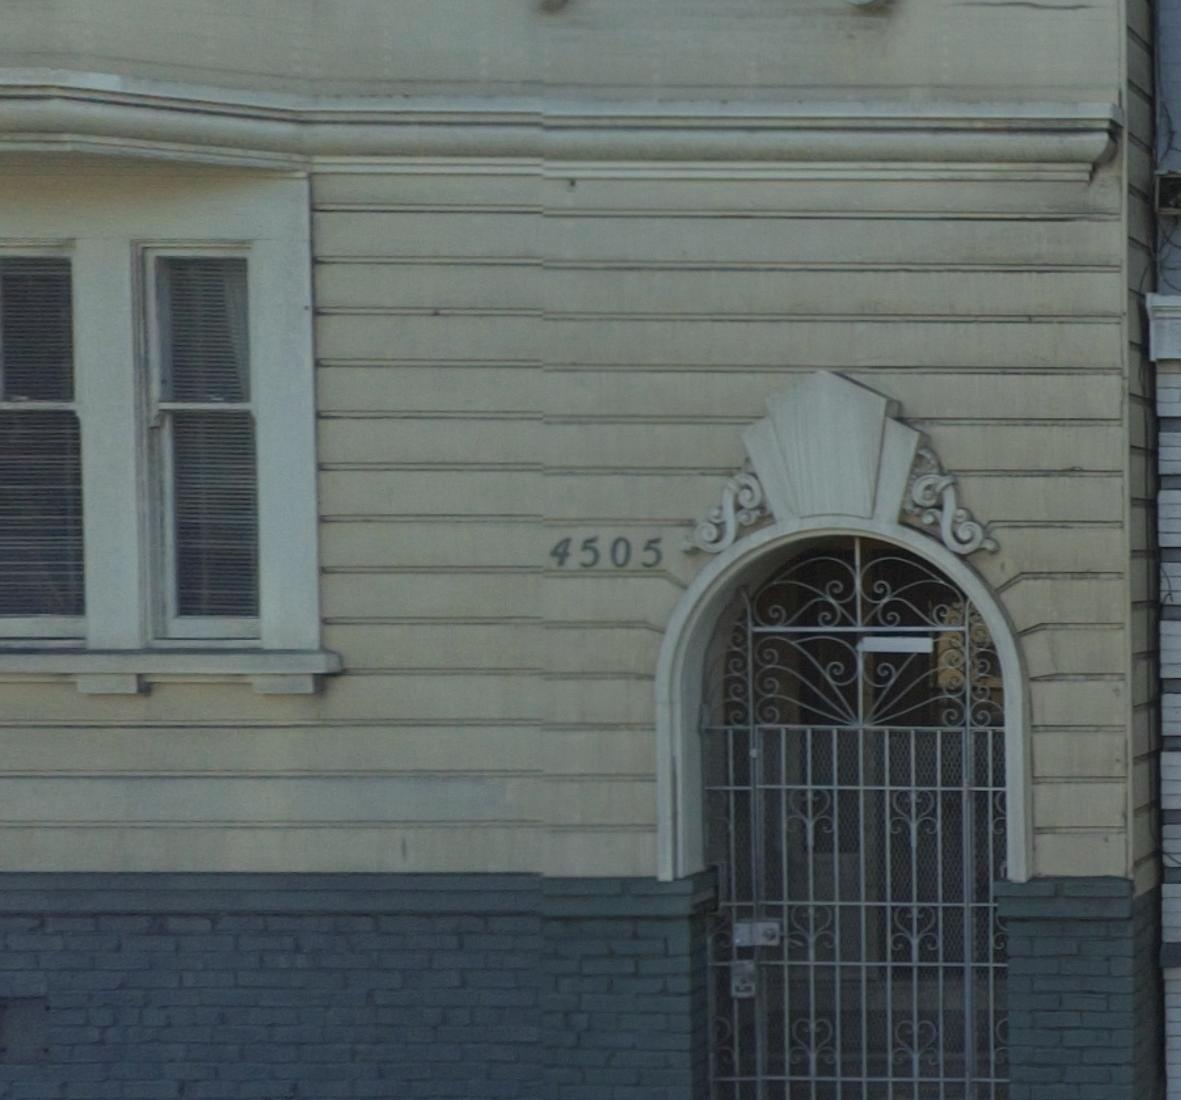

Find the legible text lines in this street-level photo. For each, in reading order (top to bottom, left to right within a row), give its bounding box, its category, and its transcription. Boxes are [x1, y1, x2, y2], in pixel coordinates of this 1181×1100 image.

[543, 533, 665, 570] StreetNumber: 4505